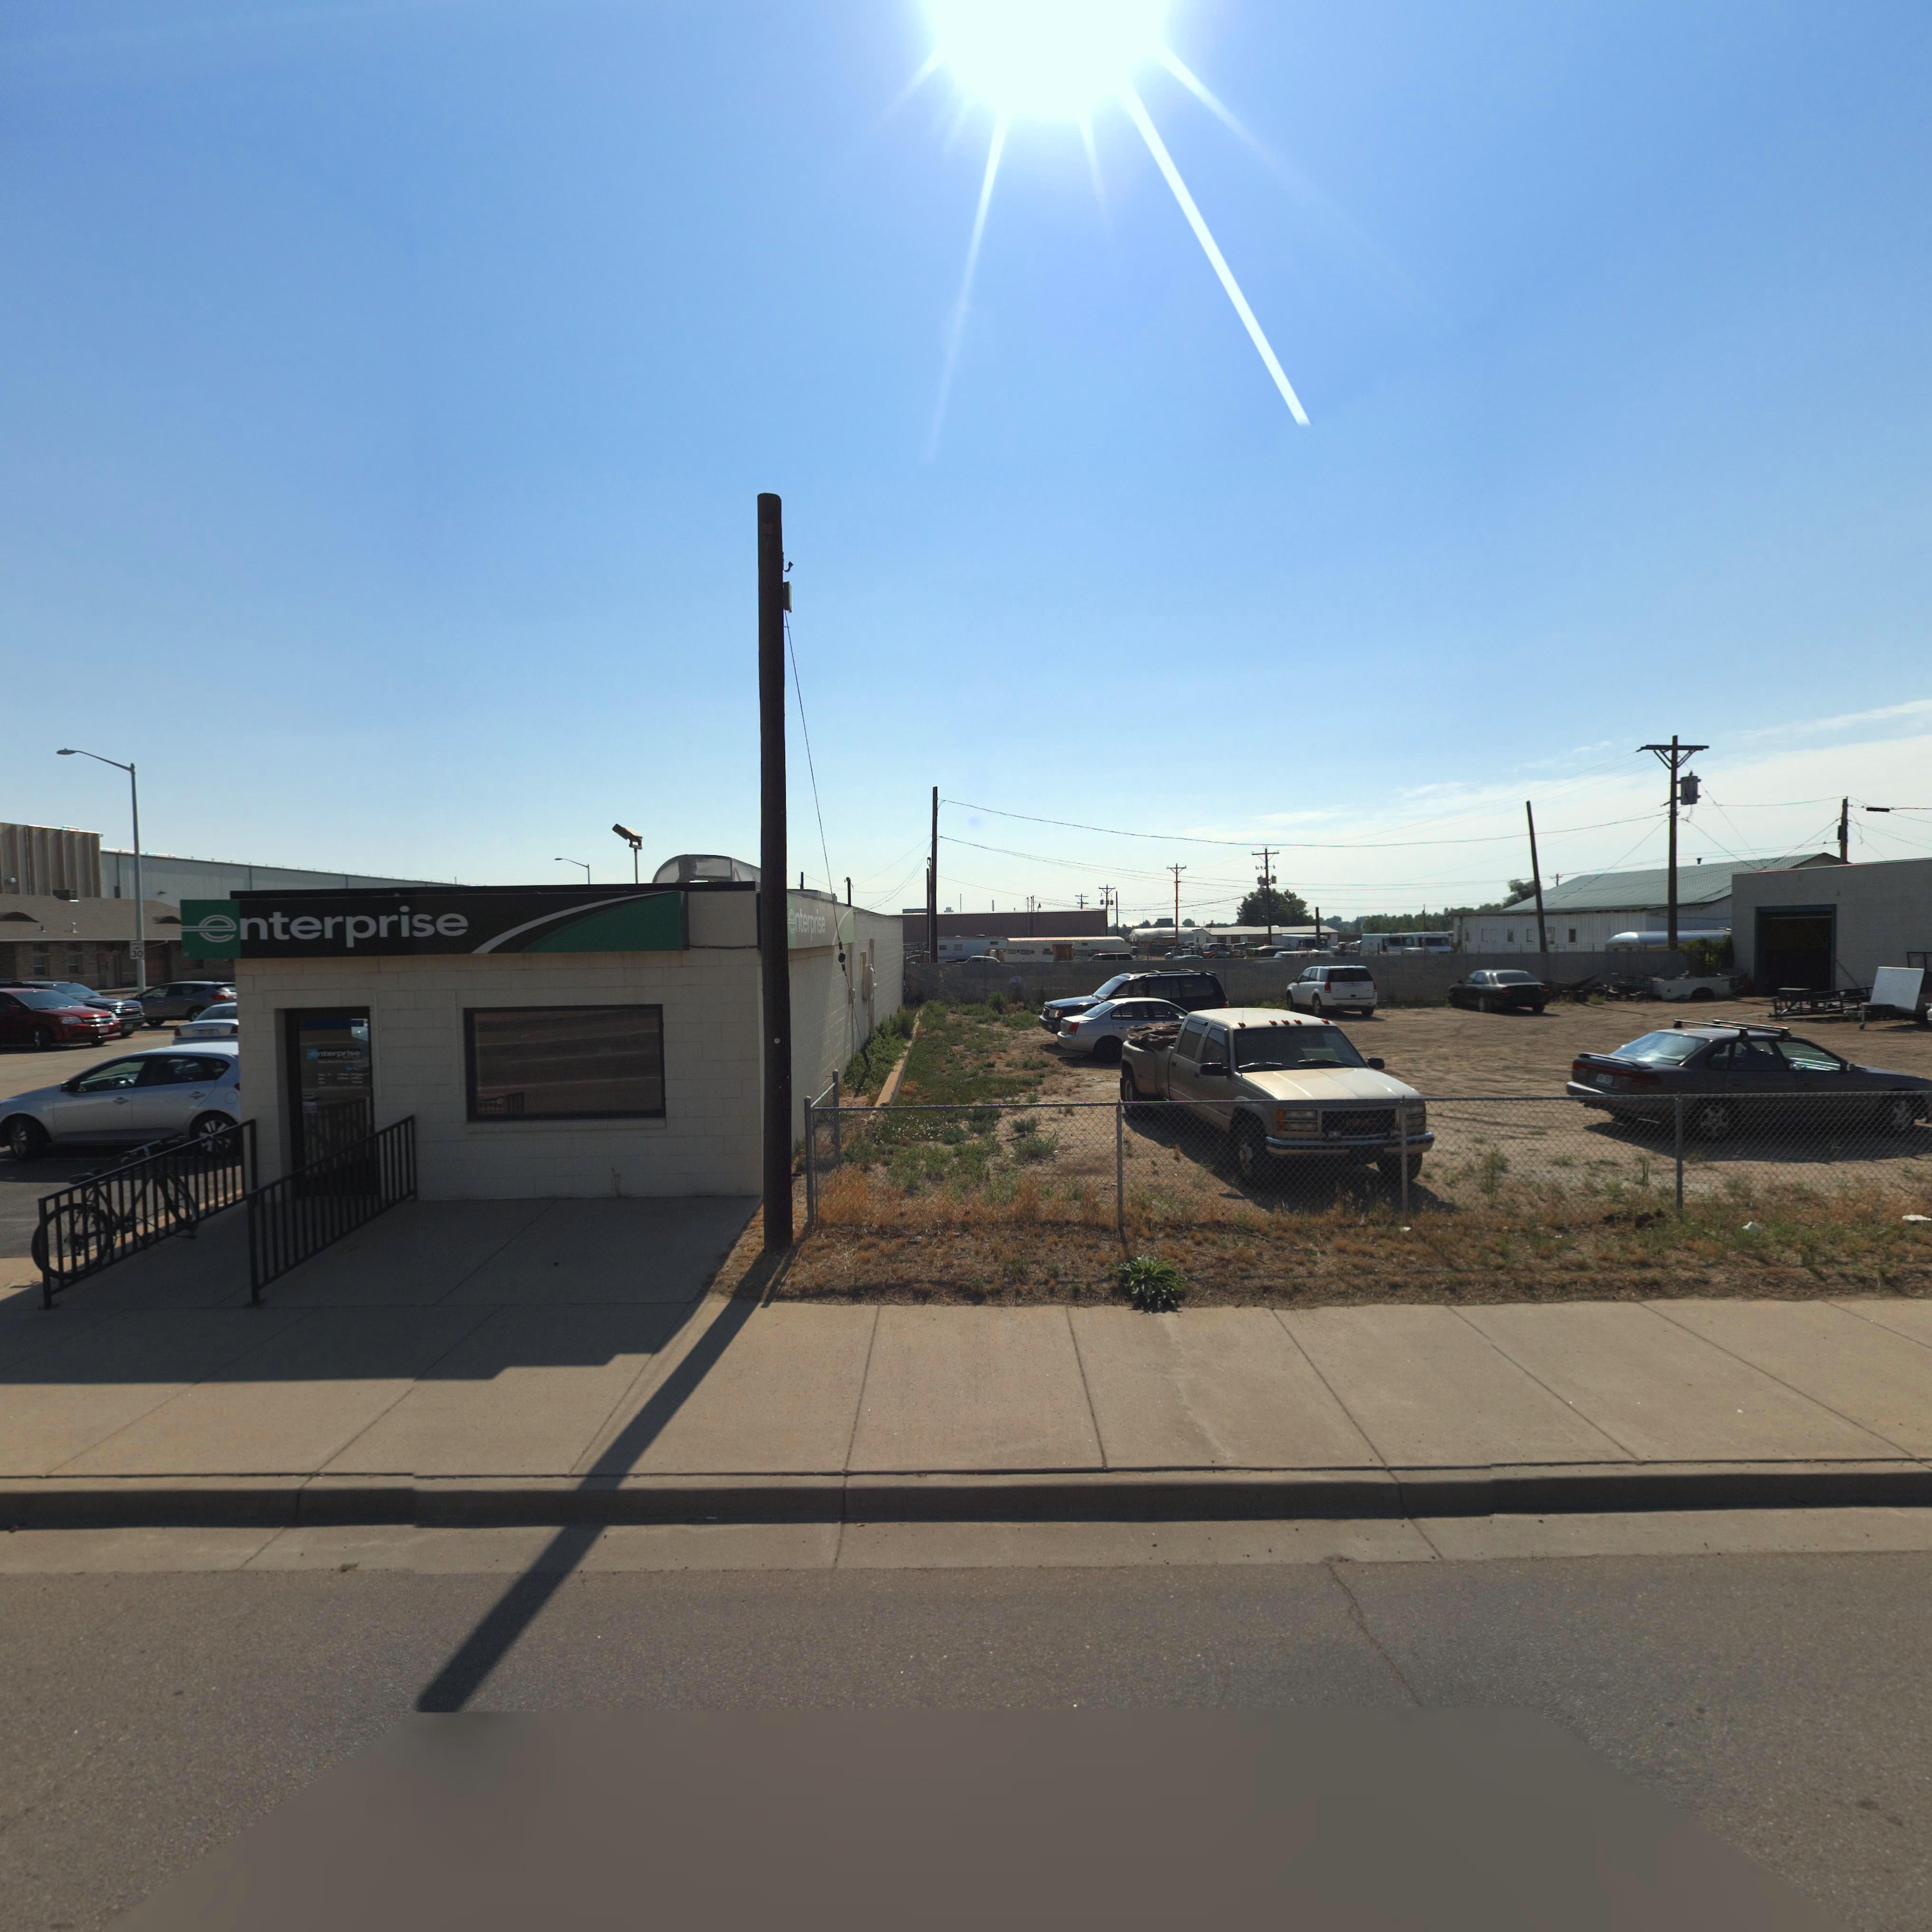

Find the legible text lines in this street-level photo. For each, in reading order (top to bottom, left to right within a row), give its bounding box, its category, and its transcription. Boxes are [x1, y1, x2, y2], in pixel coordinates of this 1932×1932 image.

[178, 904, 470, 948] BusinessName: enterprise
[307, 1049, 360, 1058] BusinessName: enterprise